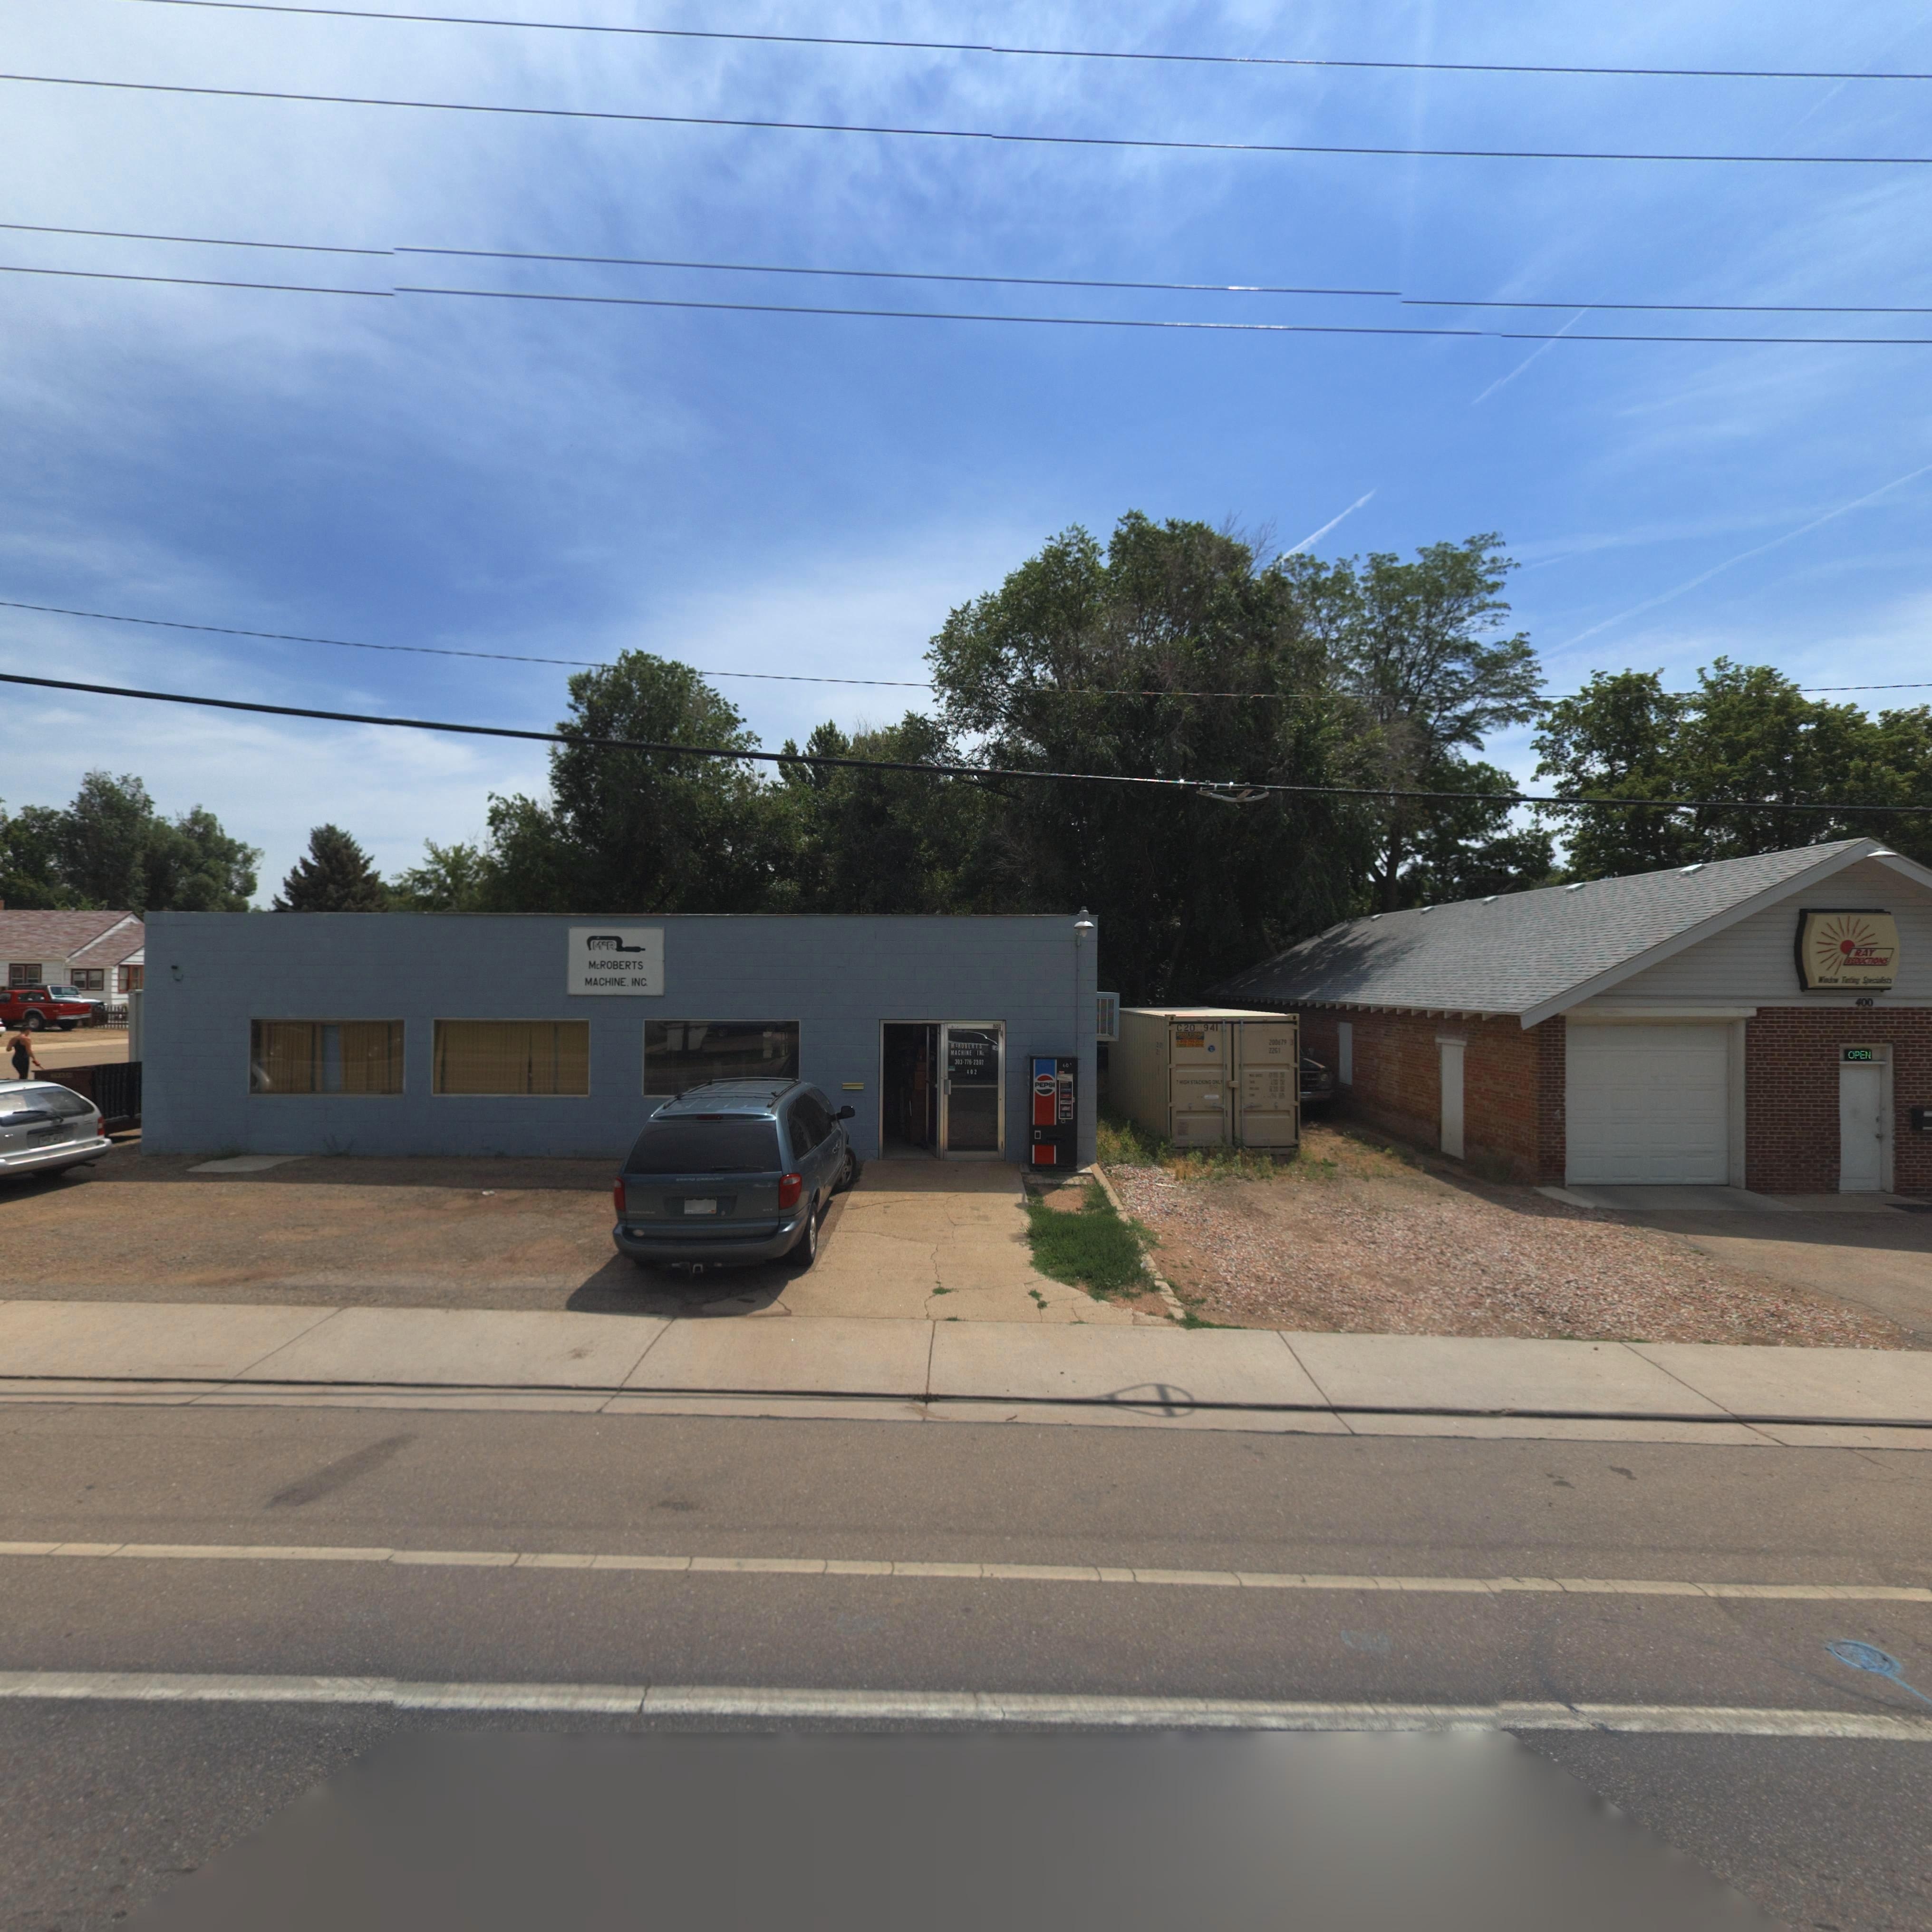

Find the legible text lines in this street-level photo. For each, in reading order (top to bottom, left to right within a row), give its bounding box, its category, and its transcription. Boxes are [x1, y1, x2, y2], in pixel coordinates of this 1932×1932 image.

[592, 940, 616, 950] BusinessName: M*R
[1853, 949, 1878, 956] BusinessName: RAY
[588, 959, 644, 970] BusinessName: McROBERTS
[1844, 956, 1890, 965] BusinessName: *ED*CT*ONS
[584, 976, 648, 987] BusinessName: MACHINE INC
[1854, 996, 1875, 1007] StreetNumber: 400
[950, 1043, 982, 1049] BusinessName: M*ROBERTS
[950, 1049, 984, 1055] BusinessName: MACHINE IN*